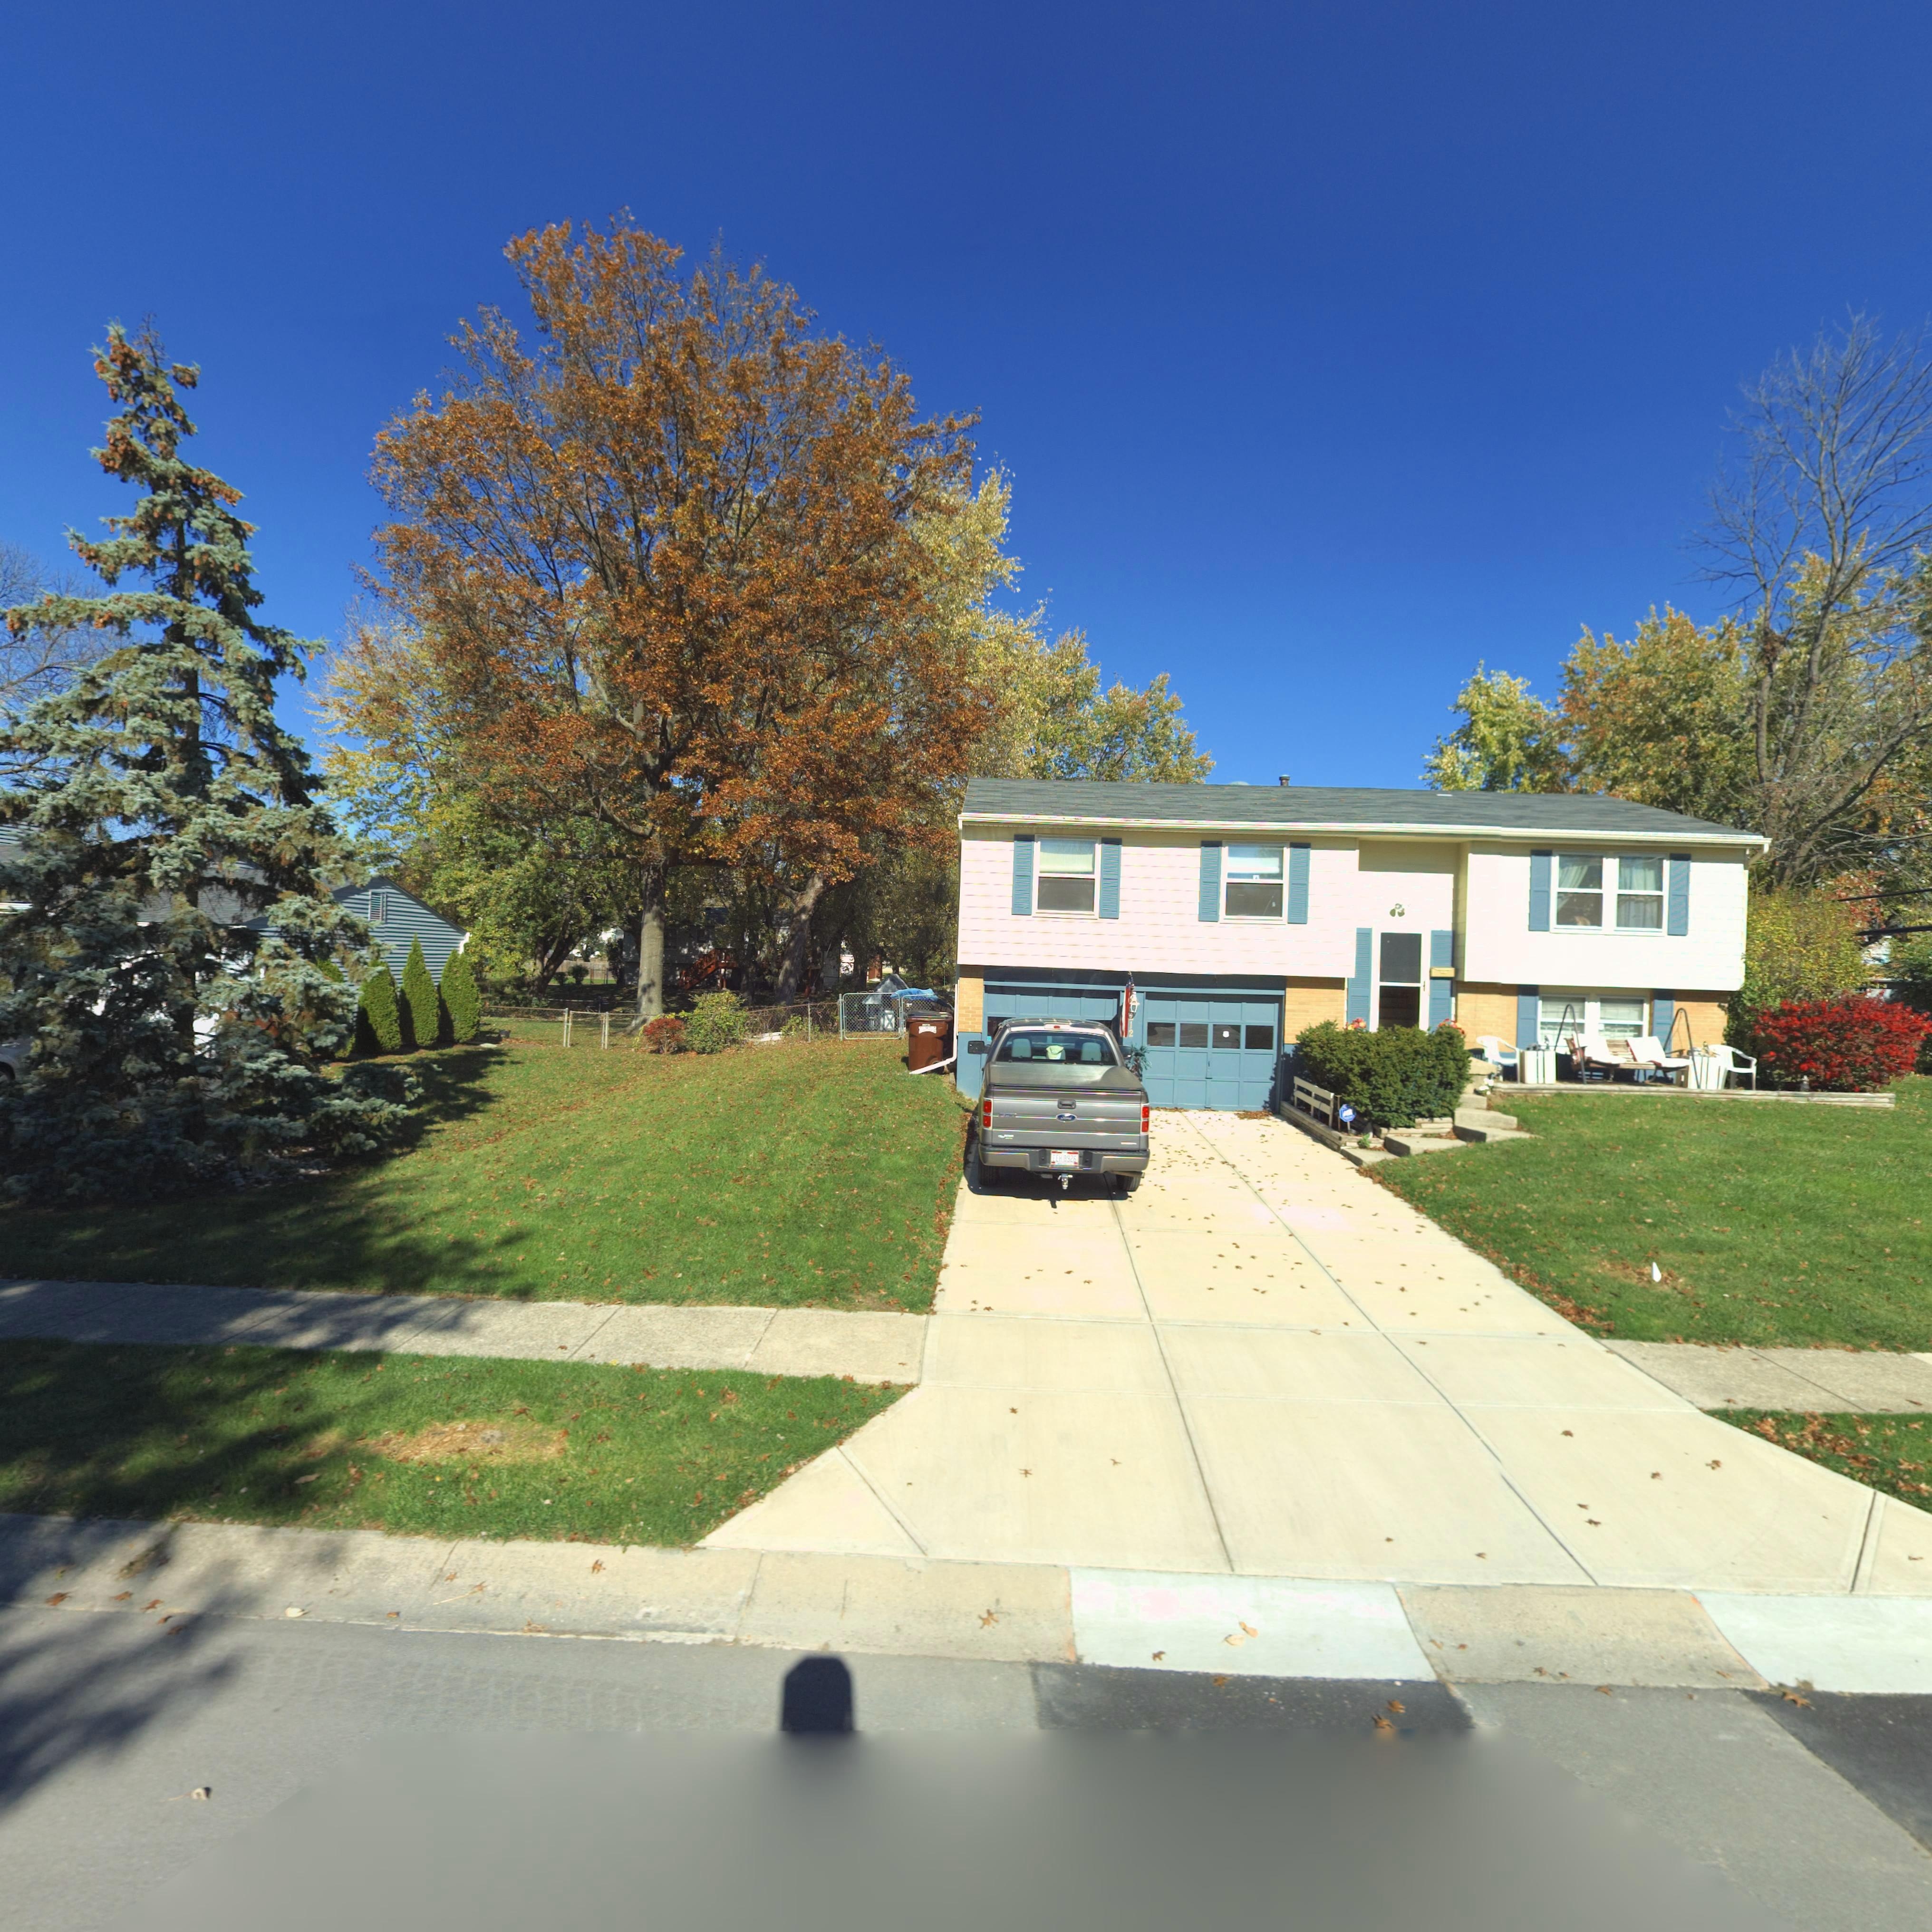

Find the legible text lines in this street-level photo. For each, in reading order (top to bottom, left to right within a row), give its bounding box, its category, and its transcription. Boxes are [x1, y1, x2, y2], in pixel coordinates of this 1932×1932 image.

[1127, 1012, 1134, 1038] StreetNumber: *12